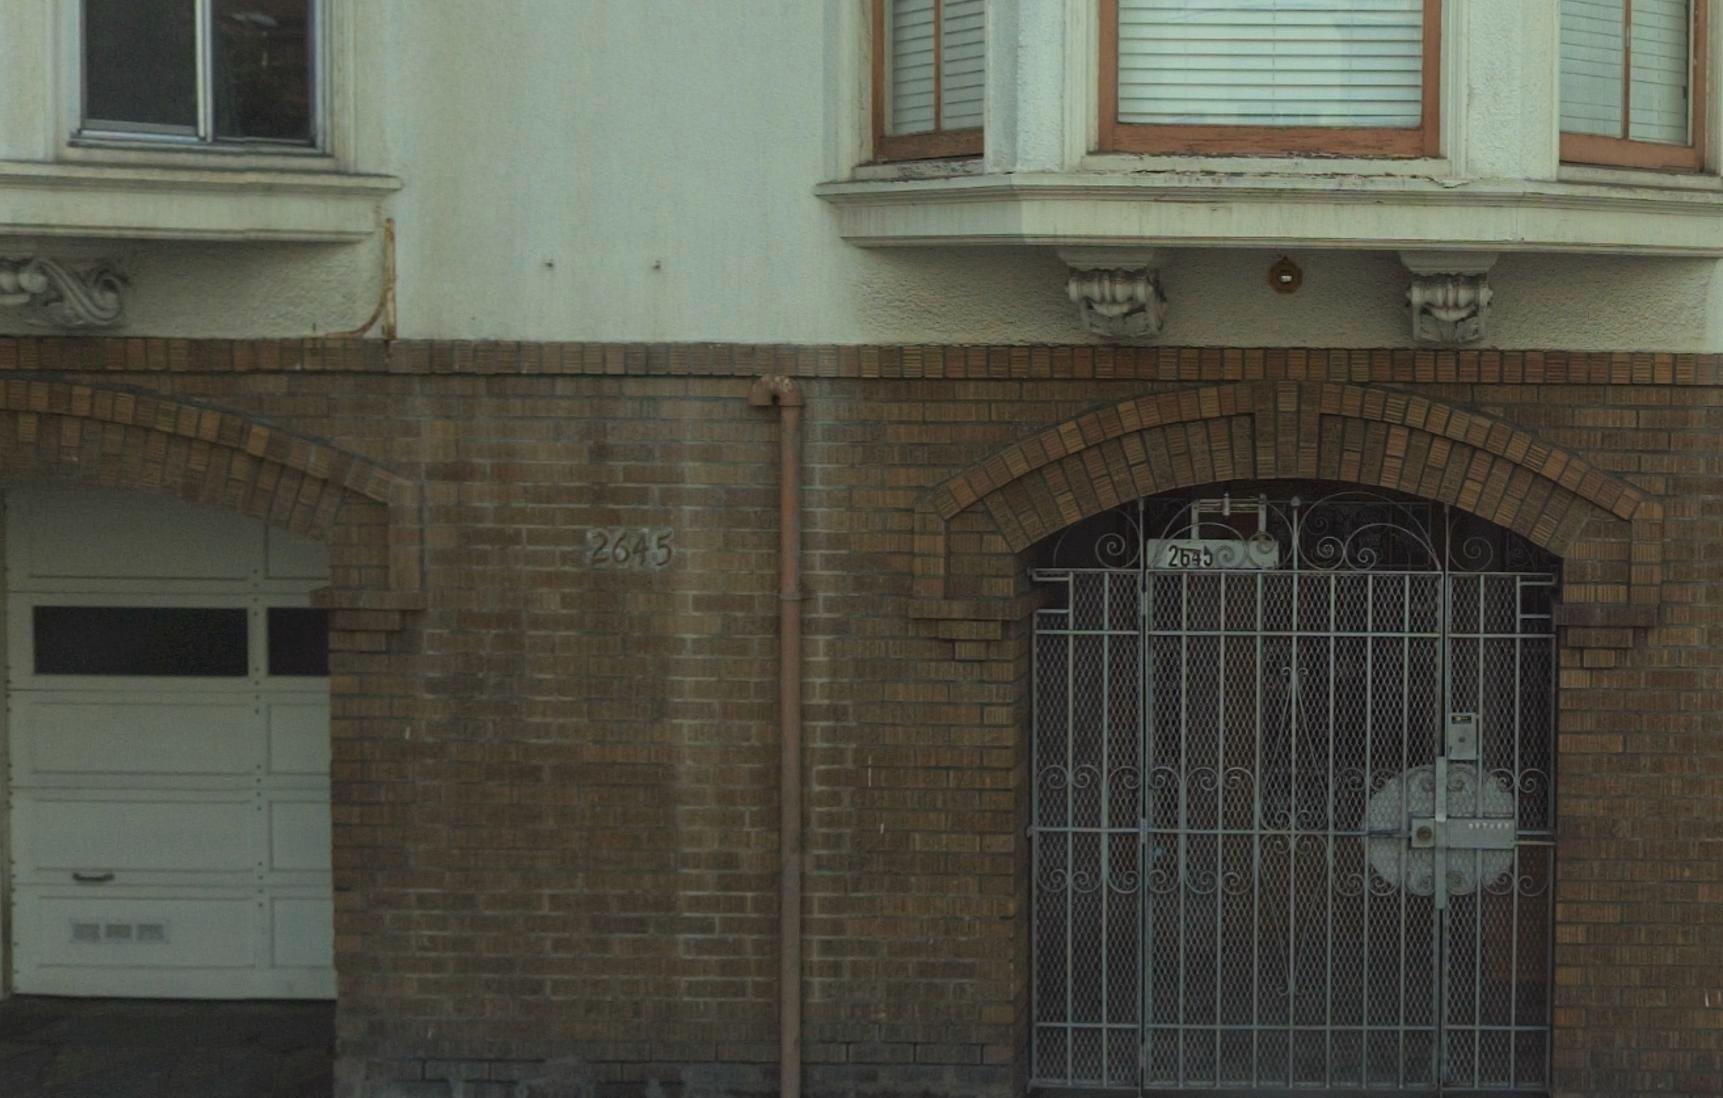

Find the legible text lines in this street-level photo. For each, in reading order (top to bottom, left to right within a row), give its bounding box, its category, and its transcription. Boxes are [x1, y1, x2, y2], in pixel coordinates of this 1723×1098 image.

[585, 527, 677, 570] StreetNumber: 2645
[1166, 542, 1217, 569] StreetNumber: 2***